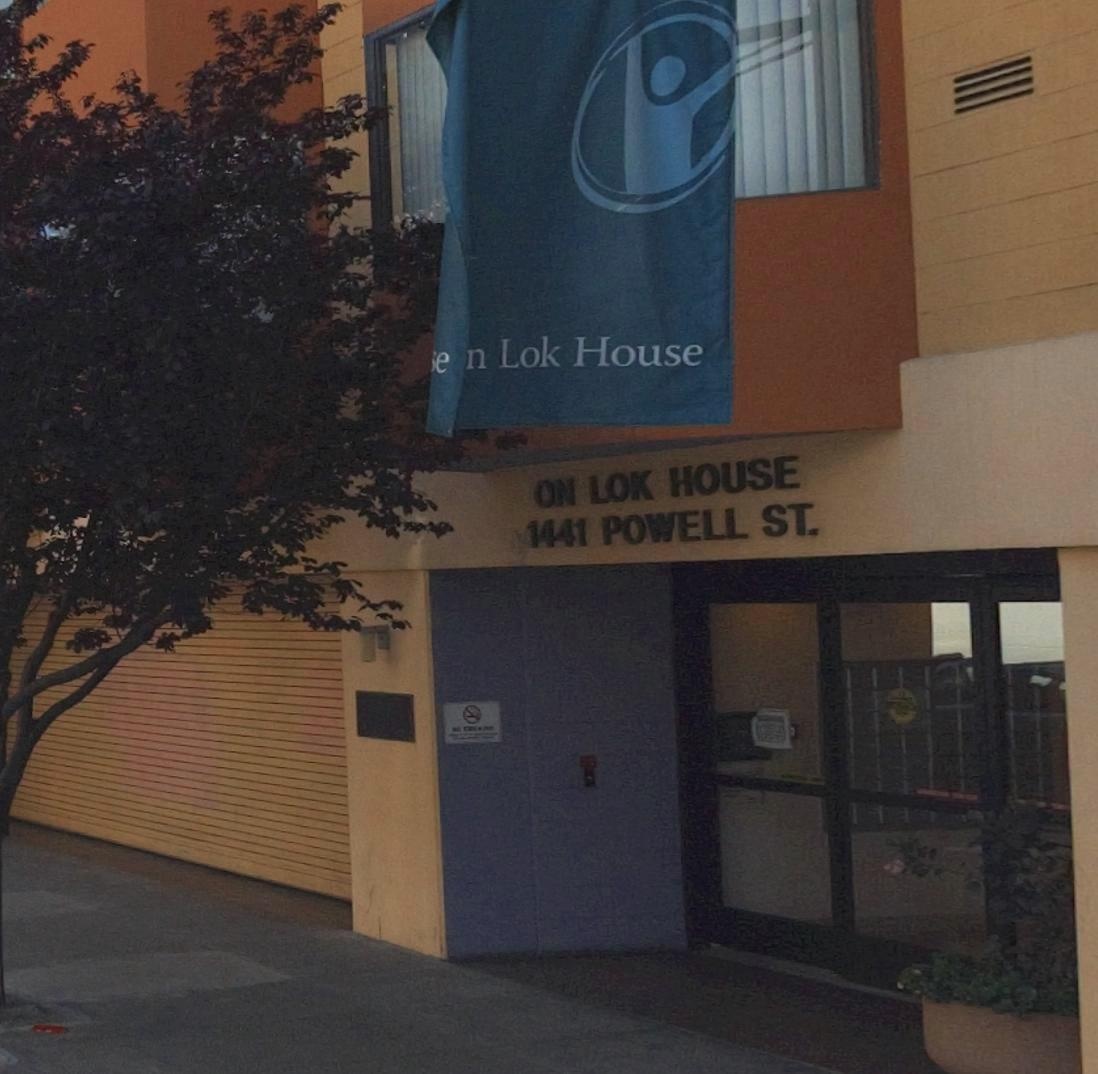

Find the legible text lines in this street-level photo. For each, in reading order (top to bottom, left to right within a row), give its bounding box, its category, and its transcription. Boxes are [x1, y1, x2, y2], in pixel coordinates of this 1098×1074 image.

[436, 334, 702, 376] BusinessName: e n Lok House
[535, 454, 802, 511] BusinessName: ON LOK HOUSE
[525, 515, 590, 551] StreetNumber: 1441
[599, 502, 819, 547] StreetName: POWELL ST.